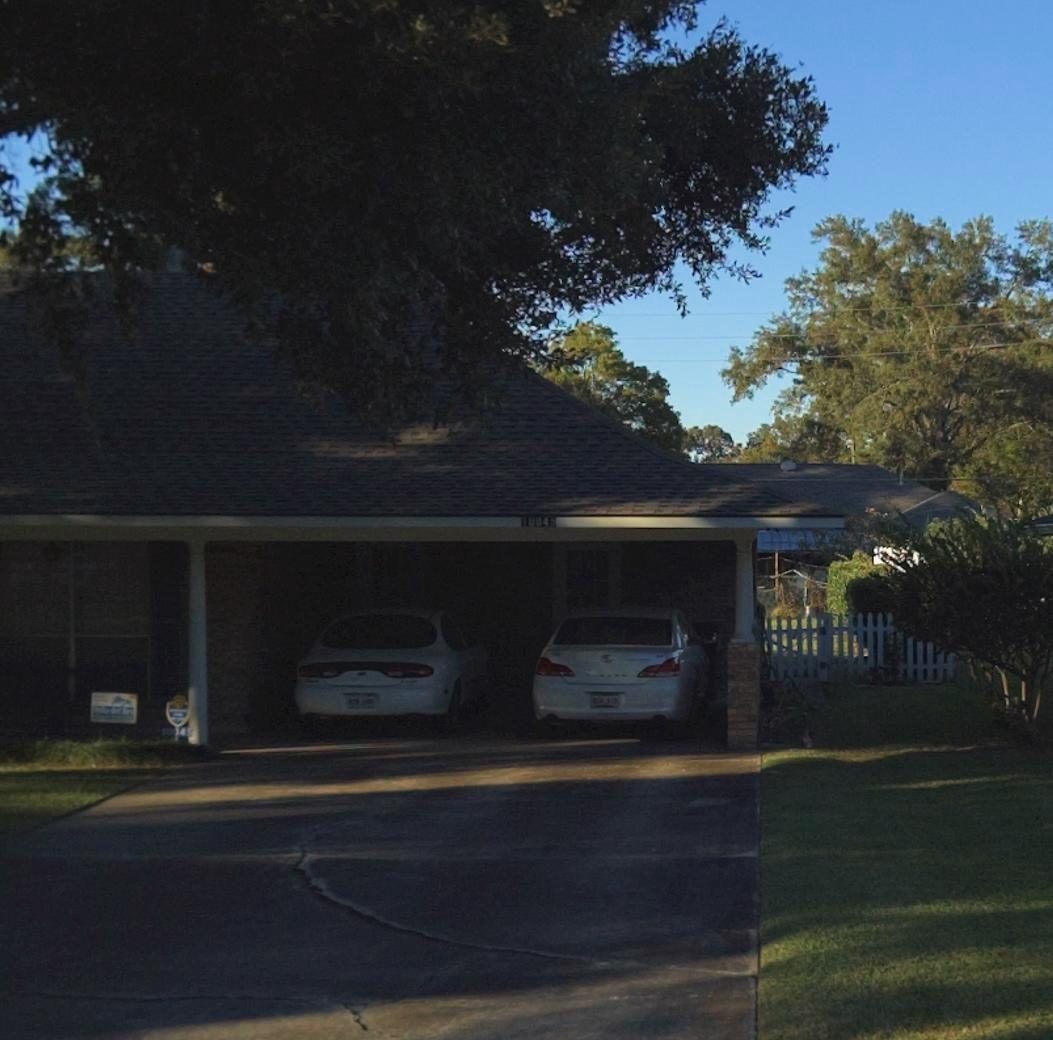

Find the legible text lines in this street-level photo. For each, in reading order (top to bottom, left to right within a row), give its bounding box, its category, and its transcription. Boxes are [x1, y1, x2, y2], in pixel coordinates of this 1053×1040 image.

[520, 515, 557, 528] StreetNumber: 10045
[161, 726, 193, 737] StreetNumber: 10045